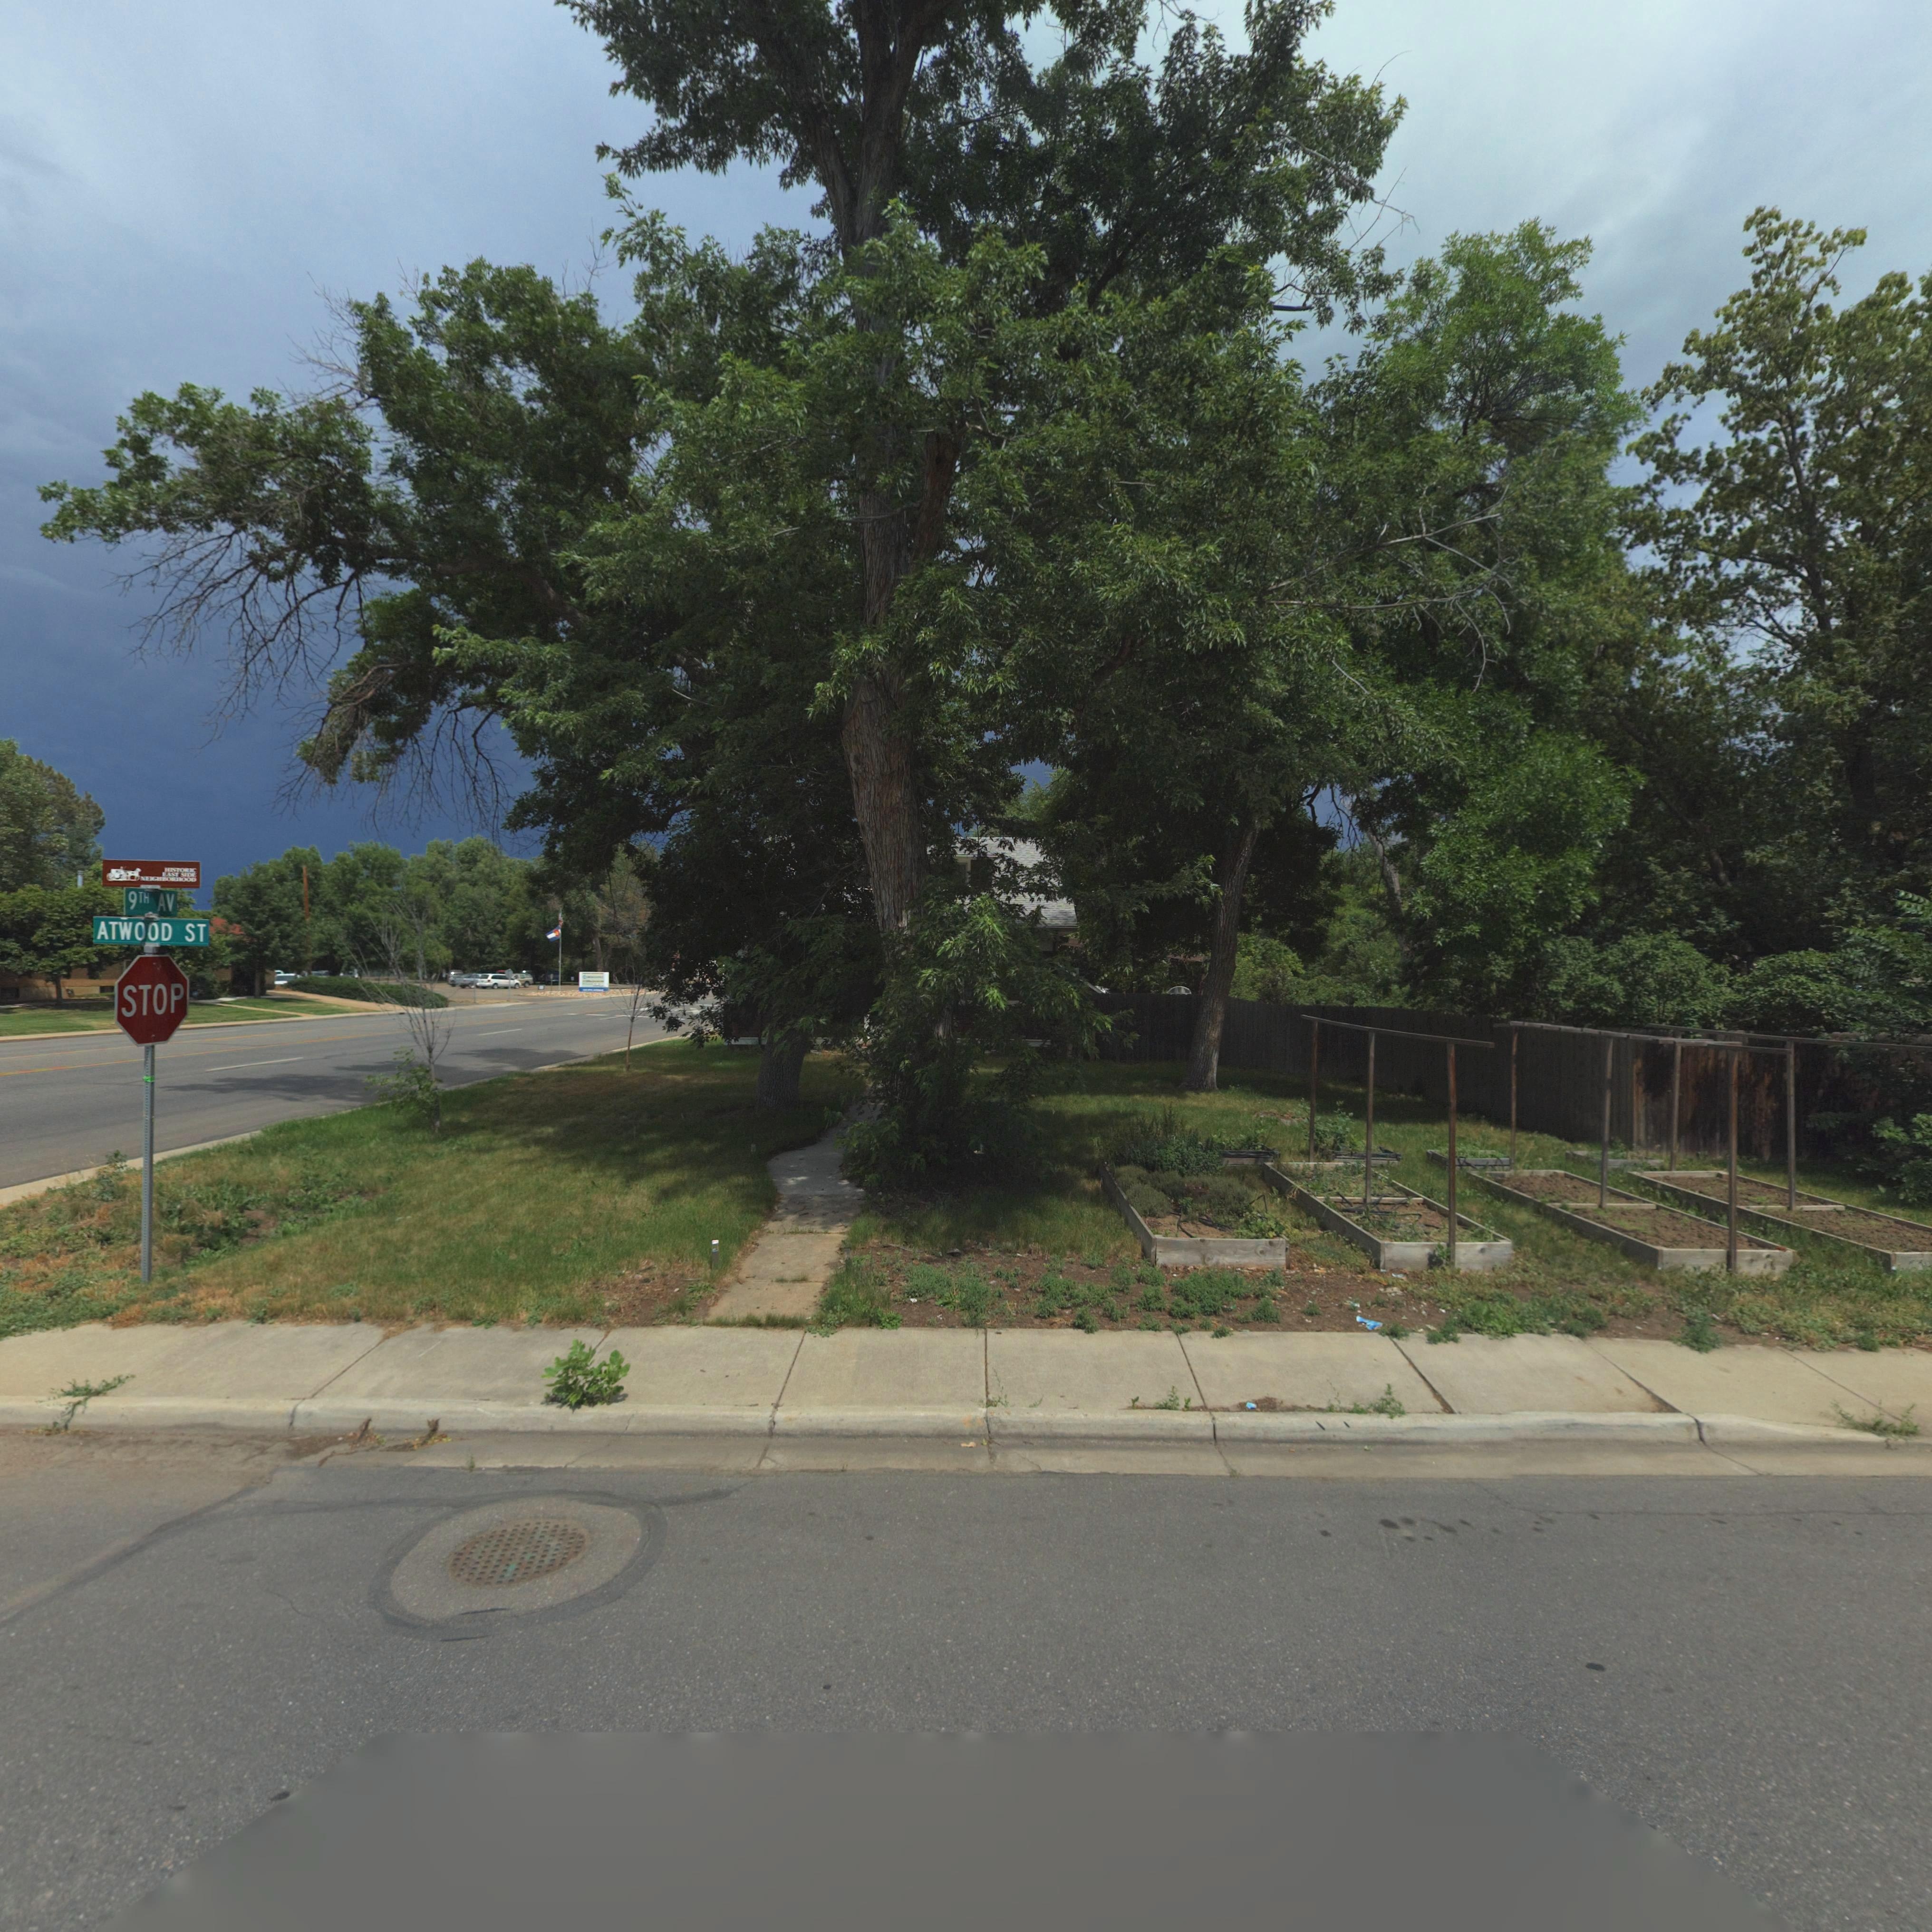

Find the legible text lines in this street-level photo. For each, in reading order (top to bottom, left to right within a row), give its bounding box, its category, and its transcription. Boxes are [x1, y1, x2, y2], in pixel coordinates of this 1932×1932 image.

[128, 890, 175, 912] StreetName: 9TH AV
[96, 921, 206, 942] StreetName: ATWOOD ST